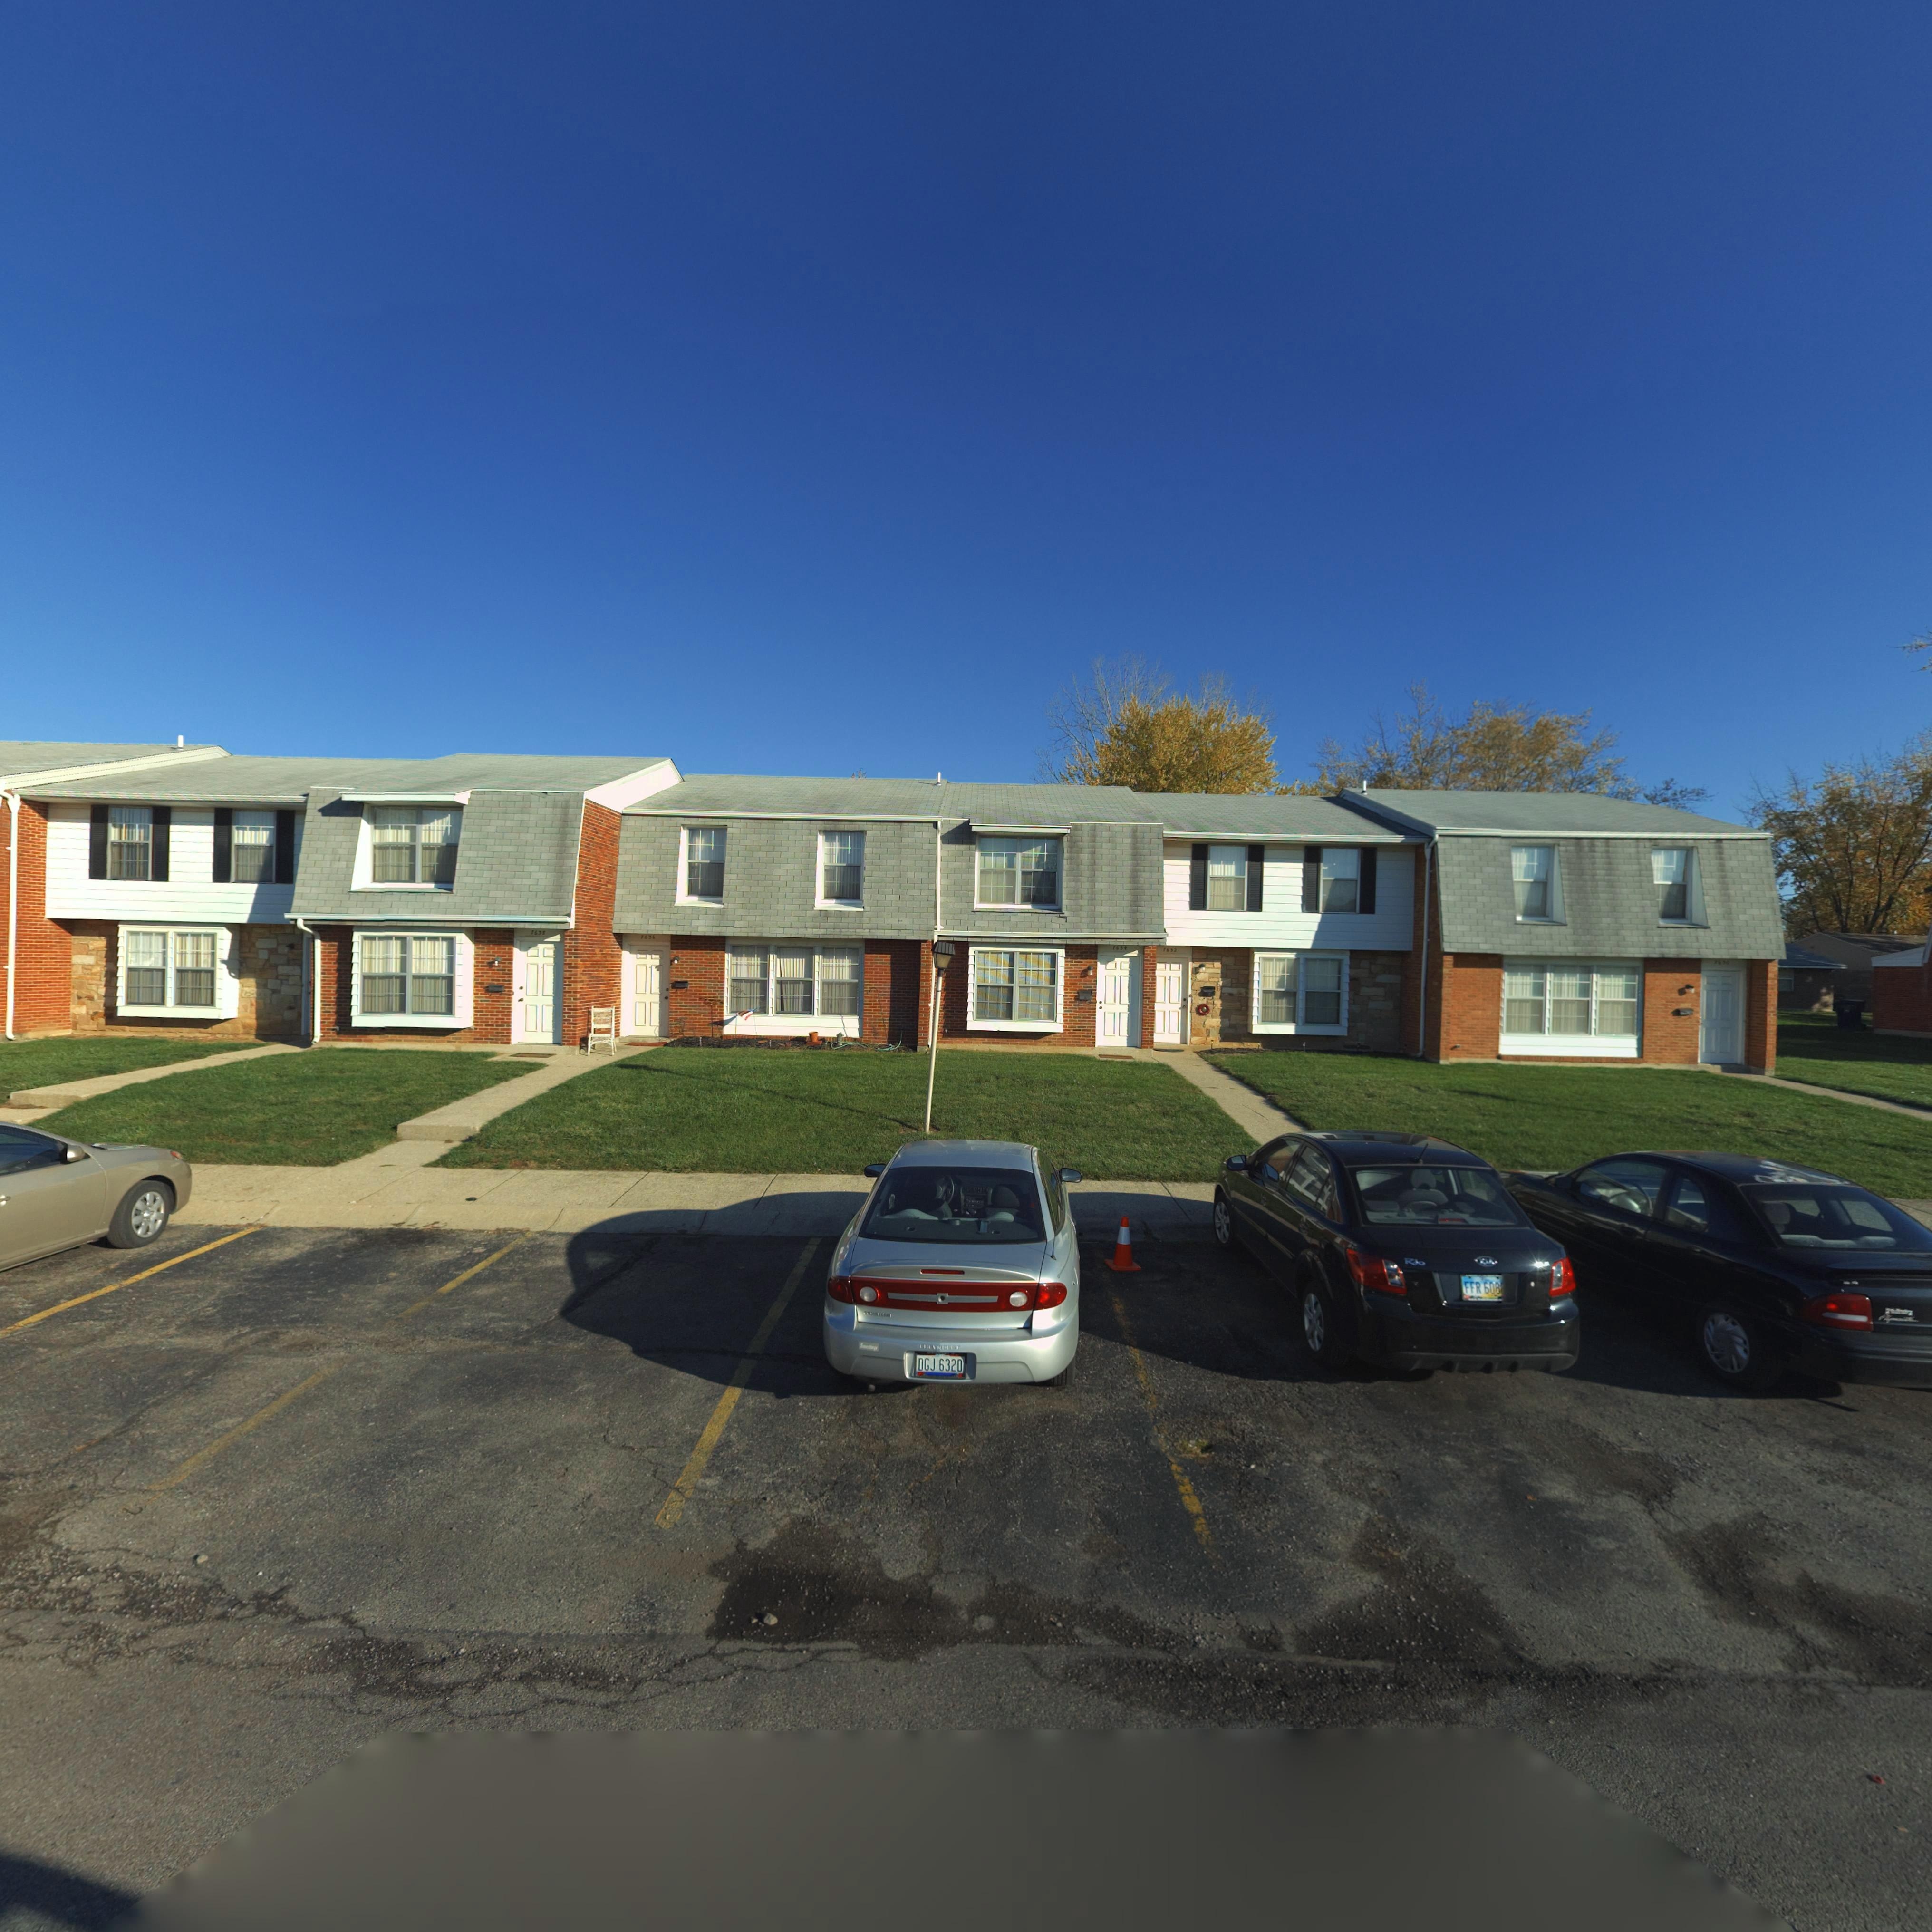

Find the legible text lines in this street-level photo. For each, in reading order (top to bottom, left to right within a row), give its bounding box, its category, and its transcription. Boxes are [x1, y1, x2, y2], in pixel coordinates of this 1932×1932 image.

[530, 929, 546, 936] StreetNumber: 7638
[640, 934, 656, 940] StreetNumber: 7636
[1111, 945, 1128, 951] StreetNumber: 7634
[1162, 947, 1178, 953] StreetNumber: 7632
[1713, 959, 1731, 966] StreetNumber: 7630